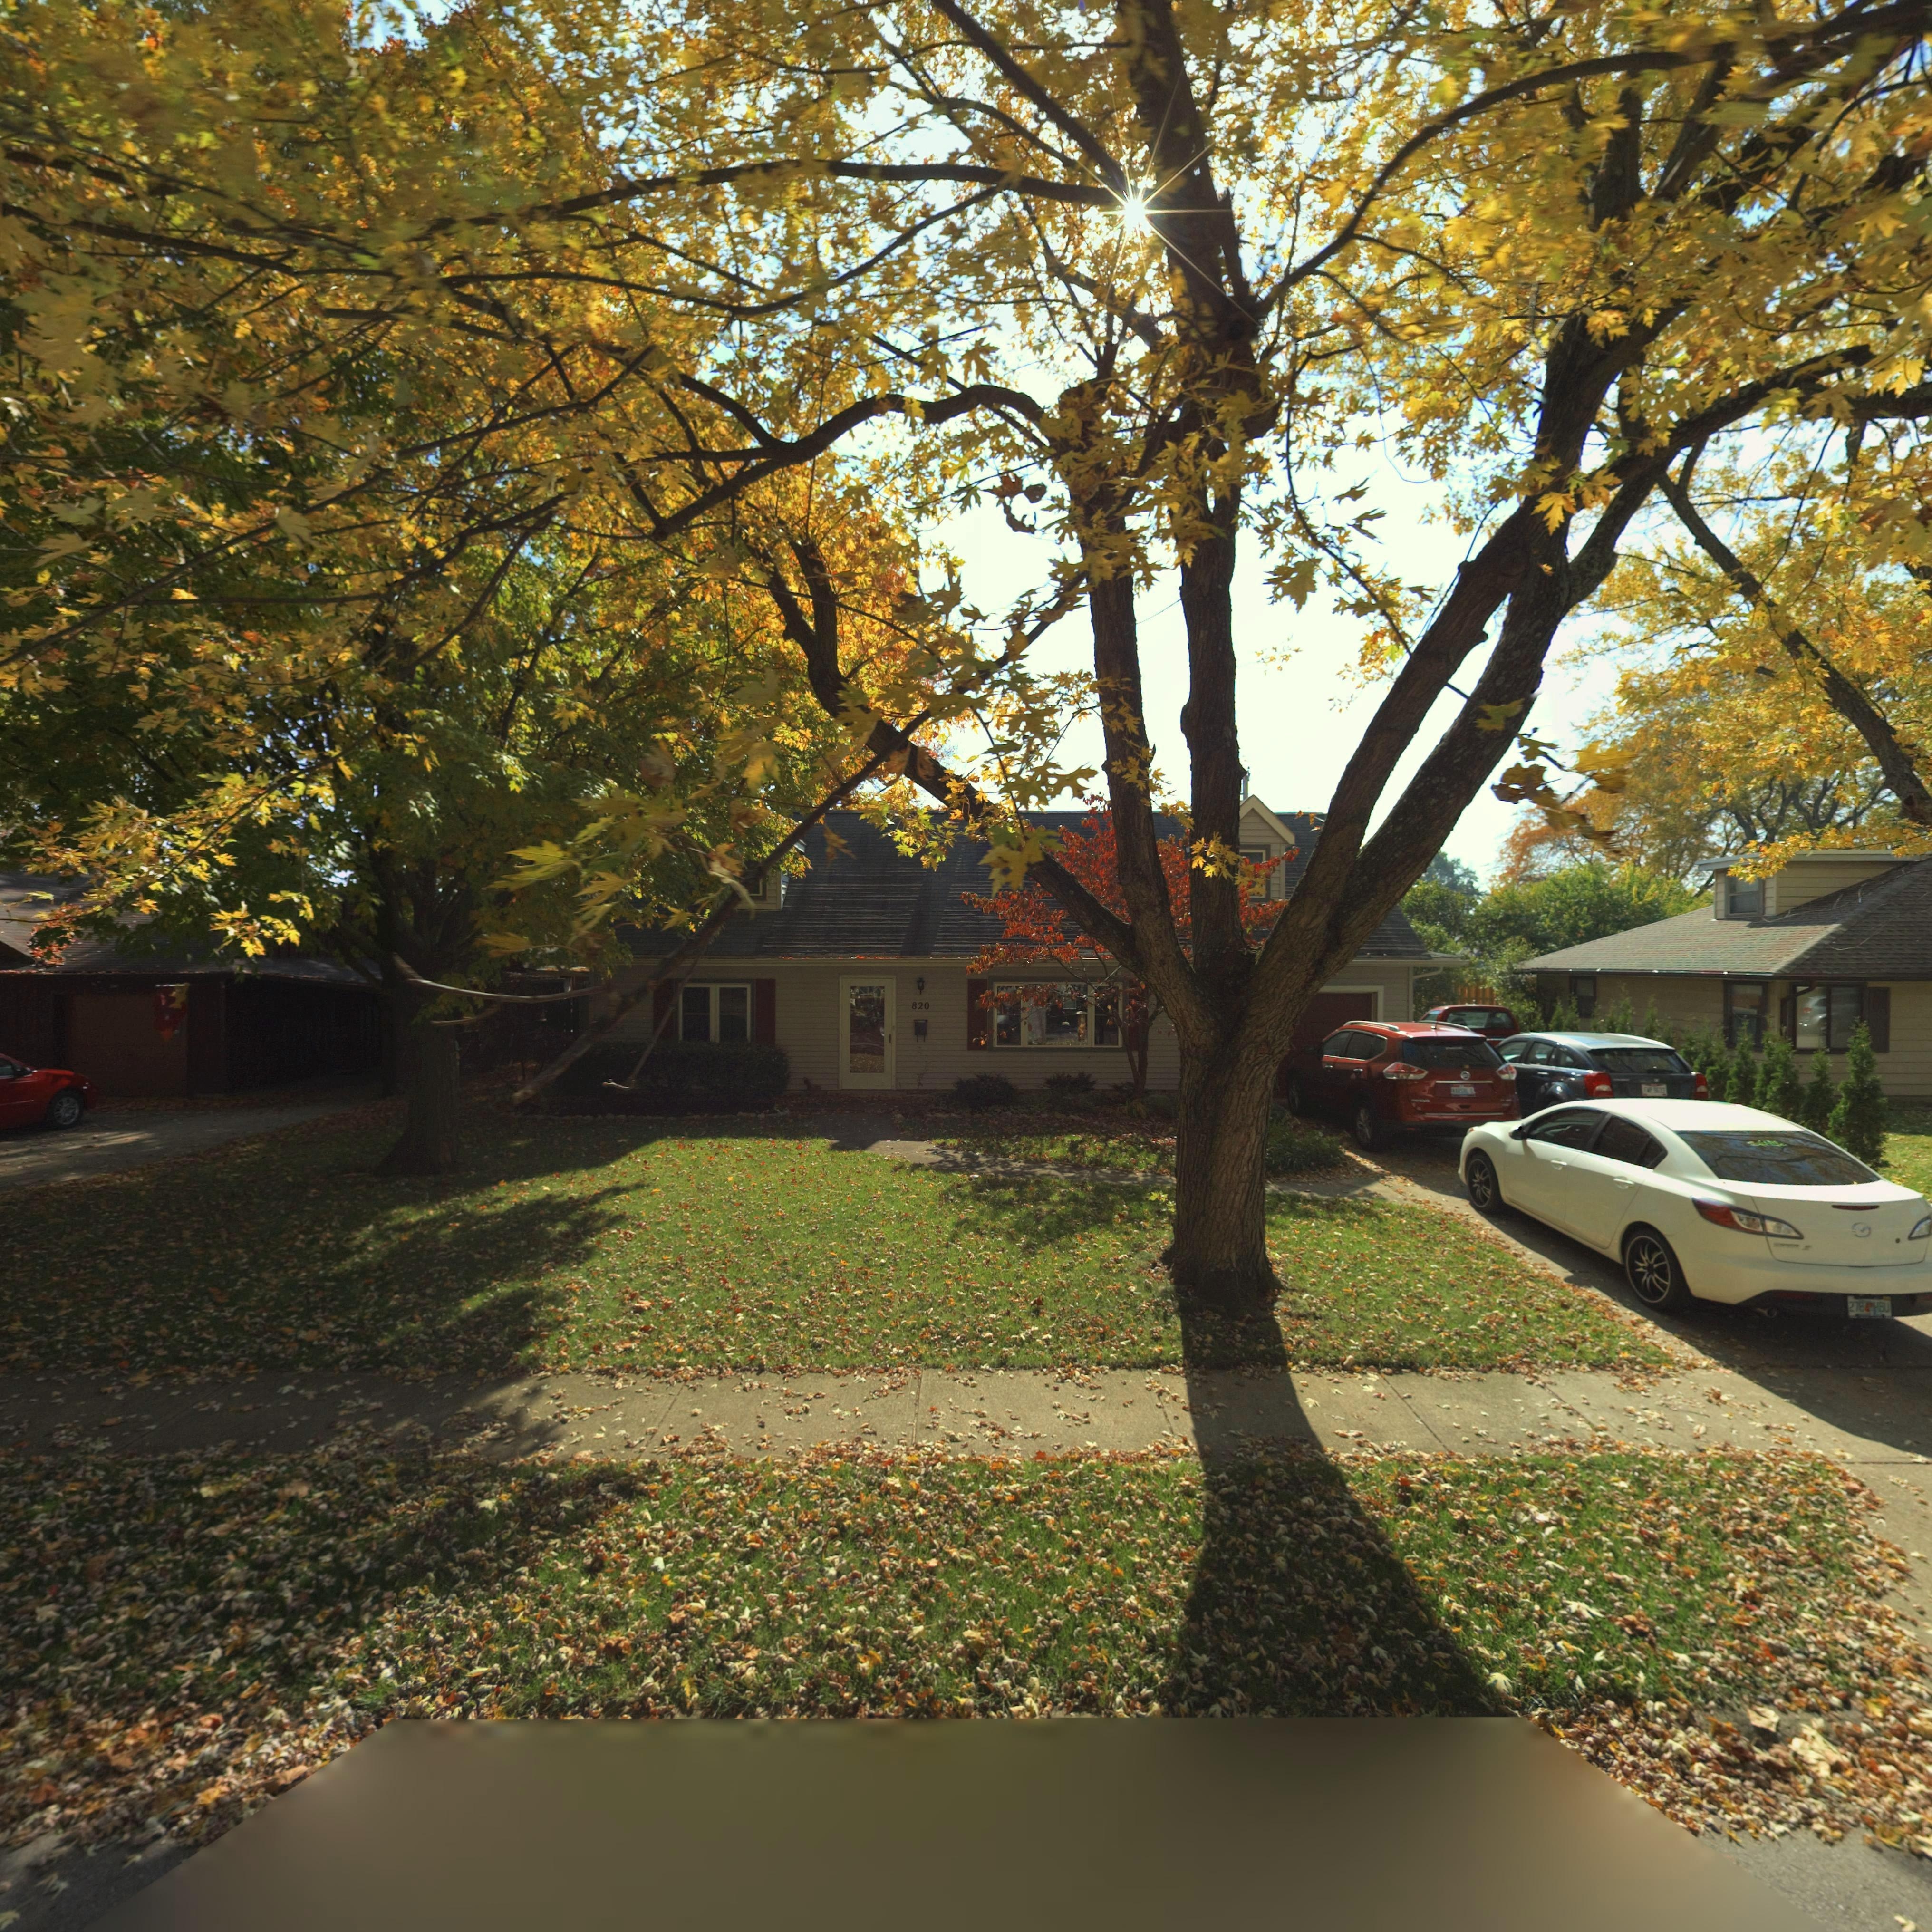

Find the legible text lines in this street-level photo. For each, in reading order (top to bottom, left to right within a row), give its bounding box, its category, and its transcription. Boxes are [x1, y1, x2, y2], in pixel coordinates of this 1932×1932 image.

[911, 1001, 930, 1010] StreetNumber: 820